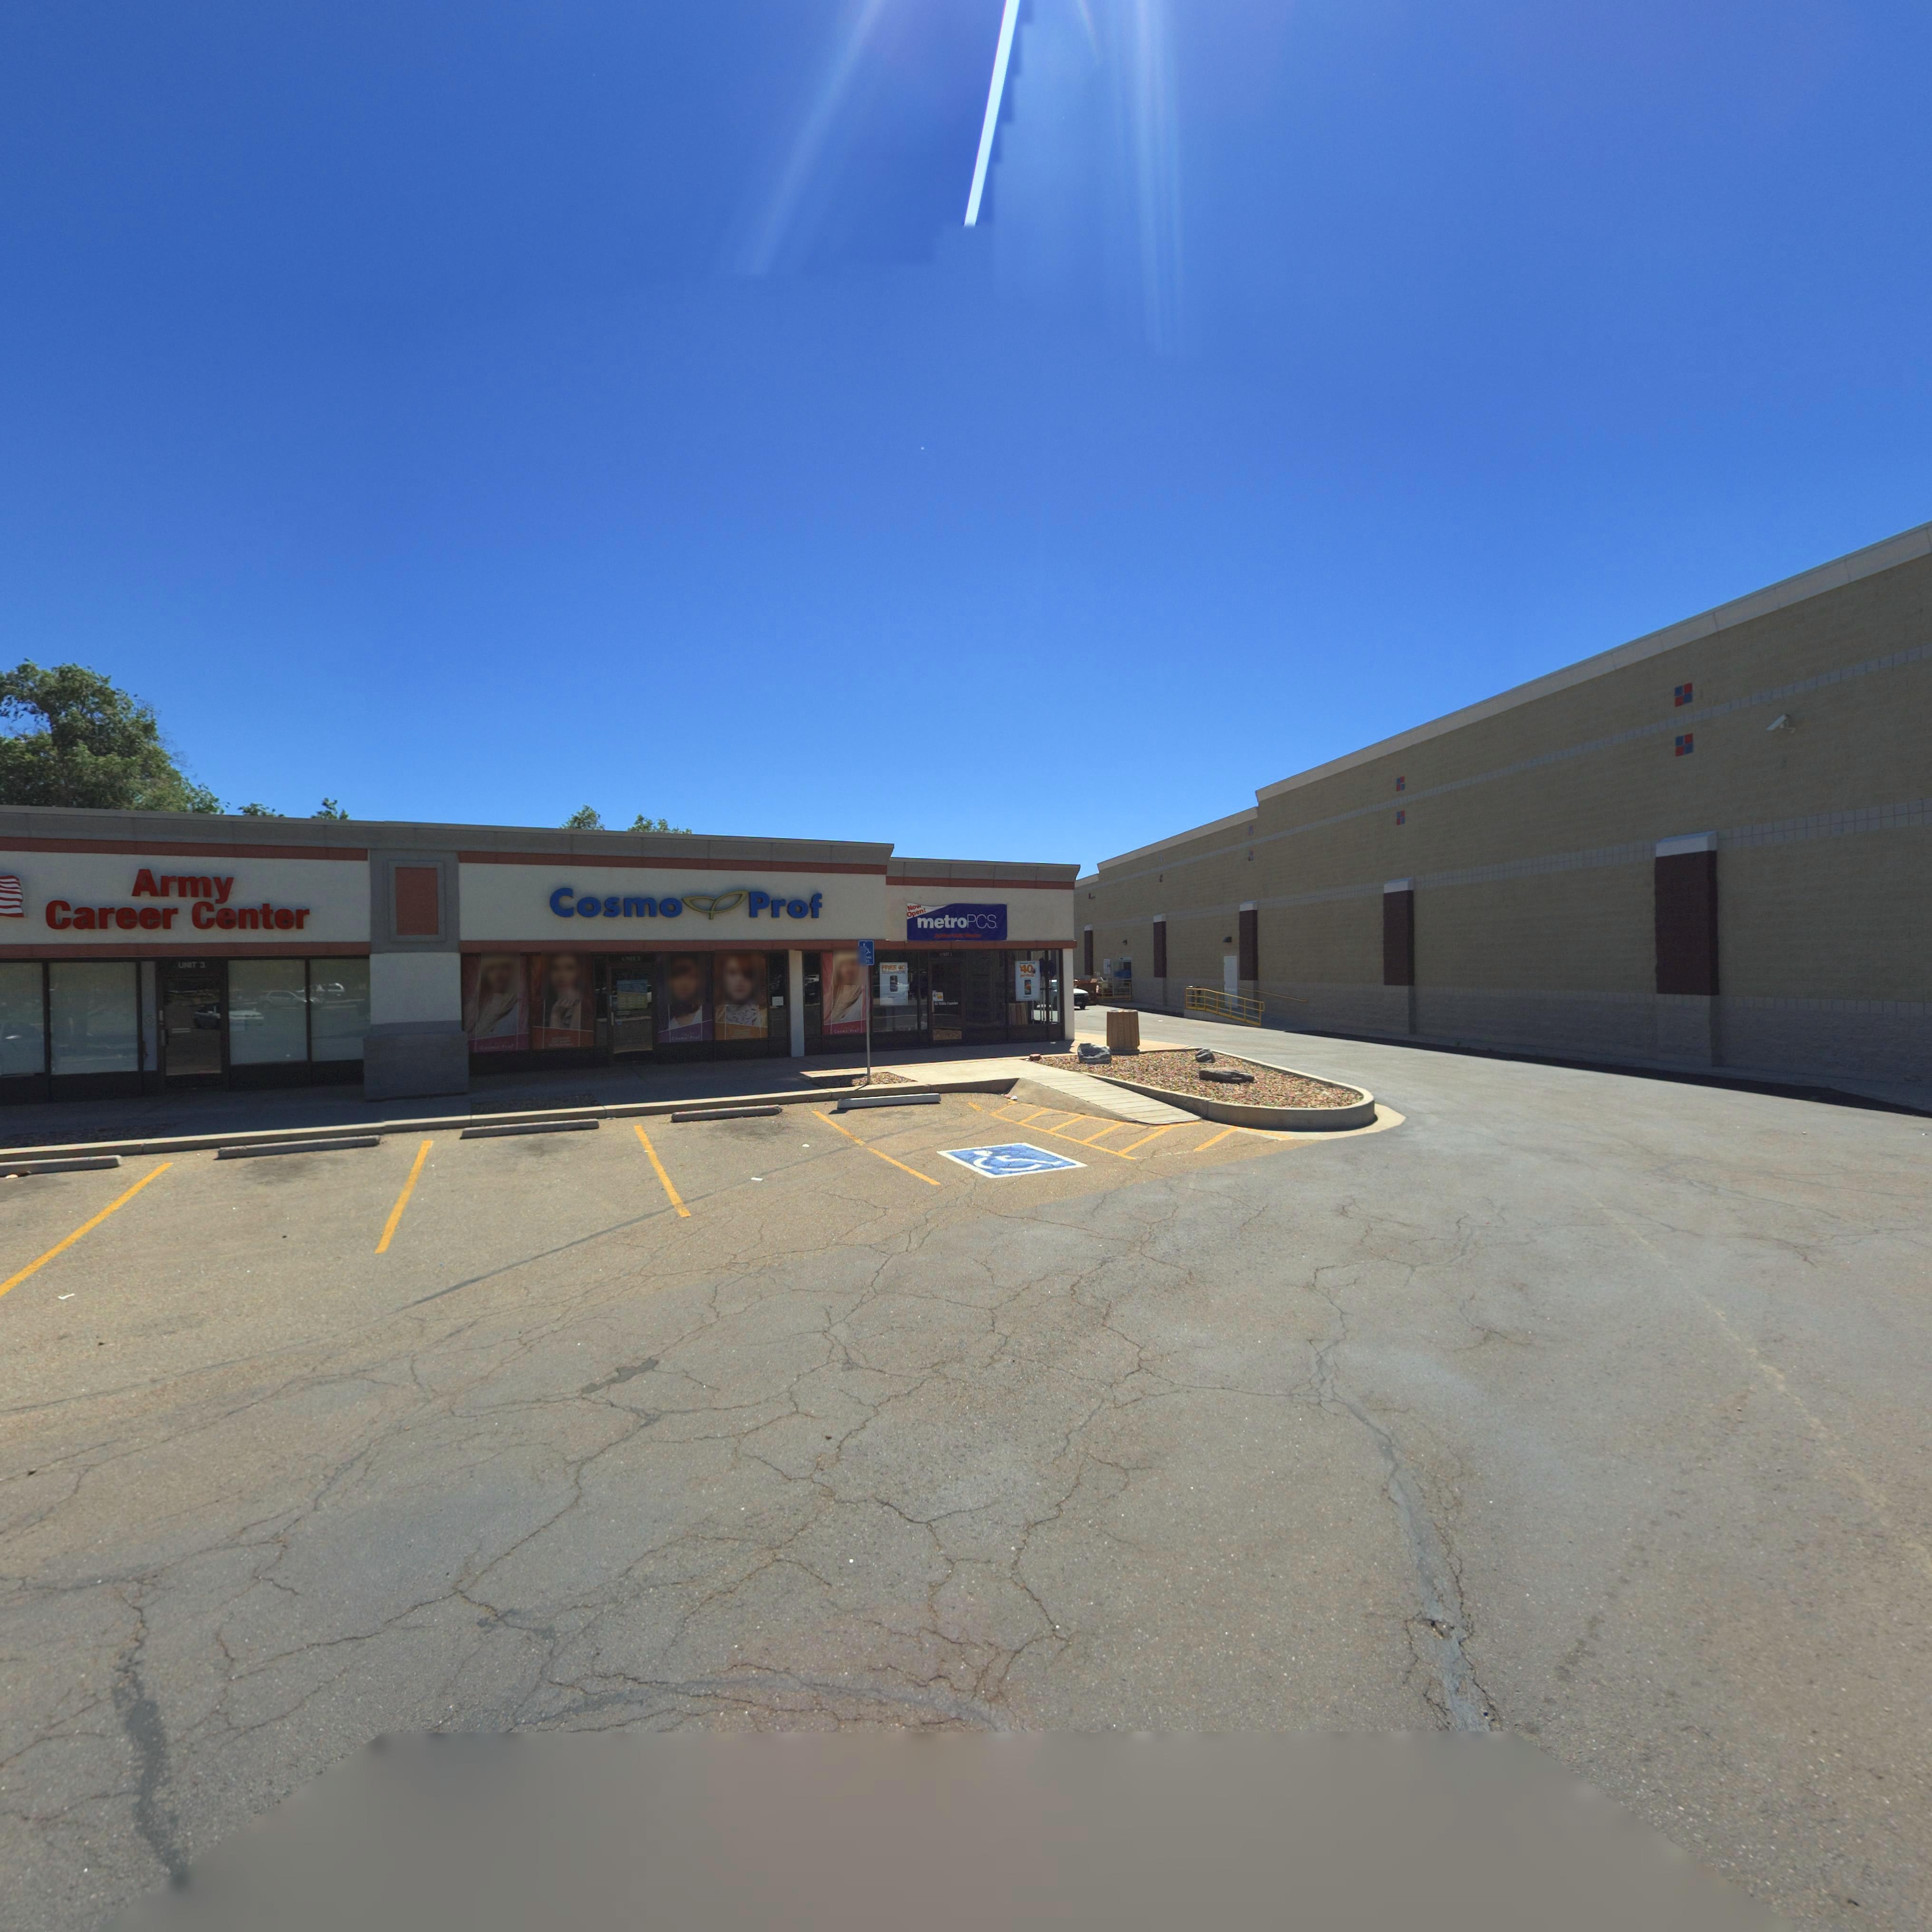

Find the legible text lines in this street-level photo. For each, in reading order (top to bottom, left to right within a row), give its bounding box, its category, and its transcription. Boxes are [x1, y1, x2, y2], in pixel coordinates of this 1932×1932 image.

[130, 868, 235, 904] BusinessName: Army 
[548, 887, 823, 919] BusinessName: Cosmo*Prof
[43, 899, 310, 930] BusinessName: Carrer Center
[917, 914, 996, 928] BusinessName: metroPCS
[178, 961, 205, 968] SecondaryUnitDesignator: UNIT 3
[620, 956, 641, 962] SecondaryUnitDesignator: UNIT 3
[939, 952, 952, 956] SecondaryUnitDesignator: UNIT 1